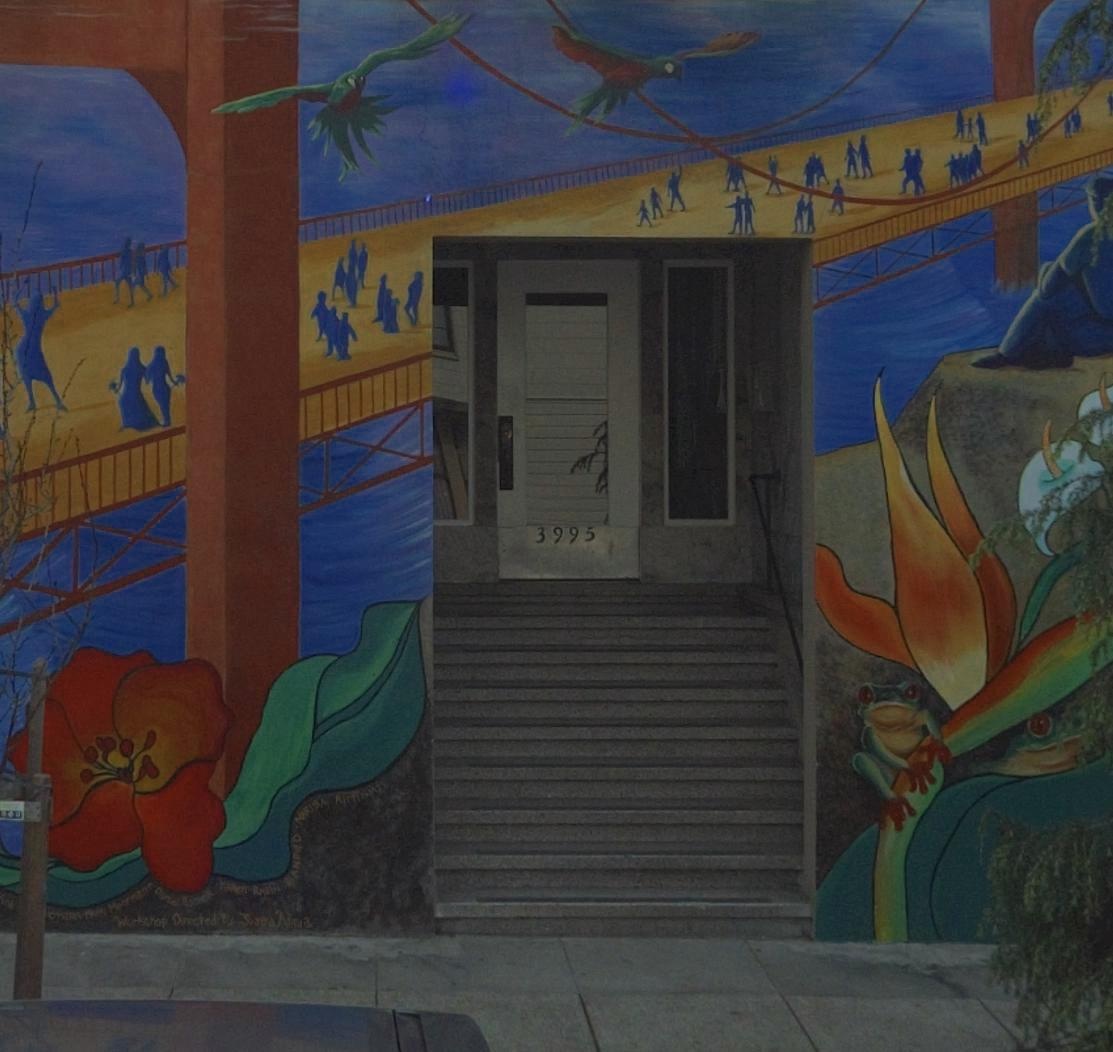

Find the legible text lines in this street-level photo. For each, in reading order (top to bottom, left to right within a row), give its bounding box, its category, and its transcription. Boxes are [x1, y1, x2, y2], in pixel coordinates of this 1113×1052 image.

[535, 526, 597, 546] StreetNumber: 3995